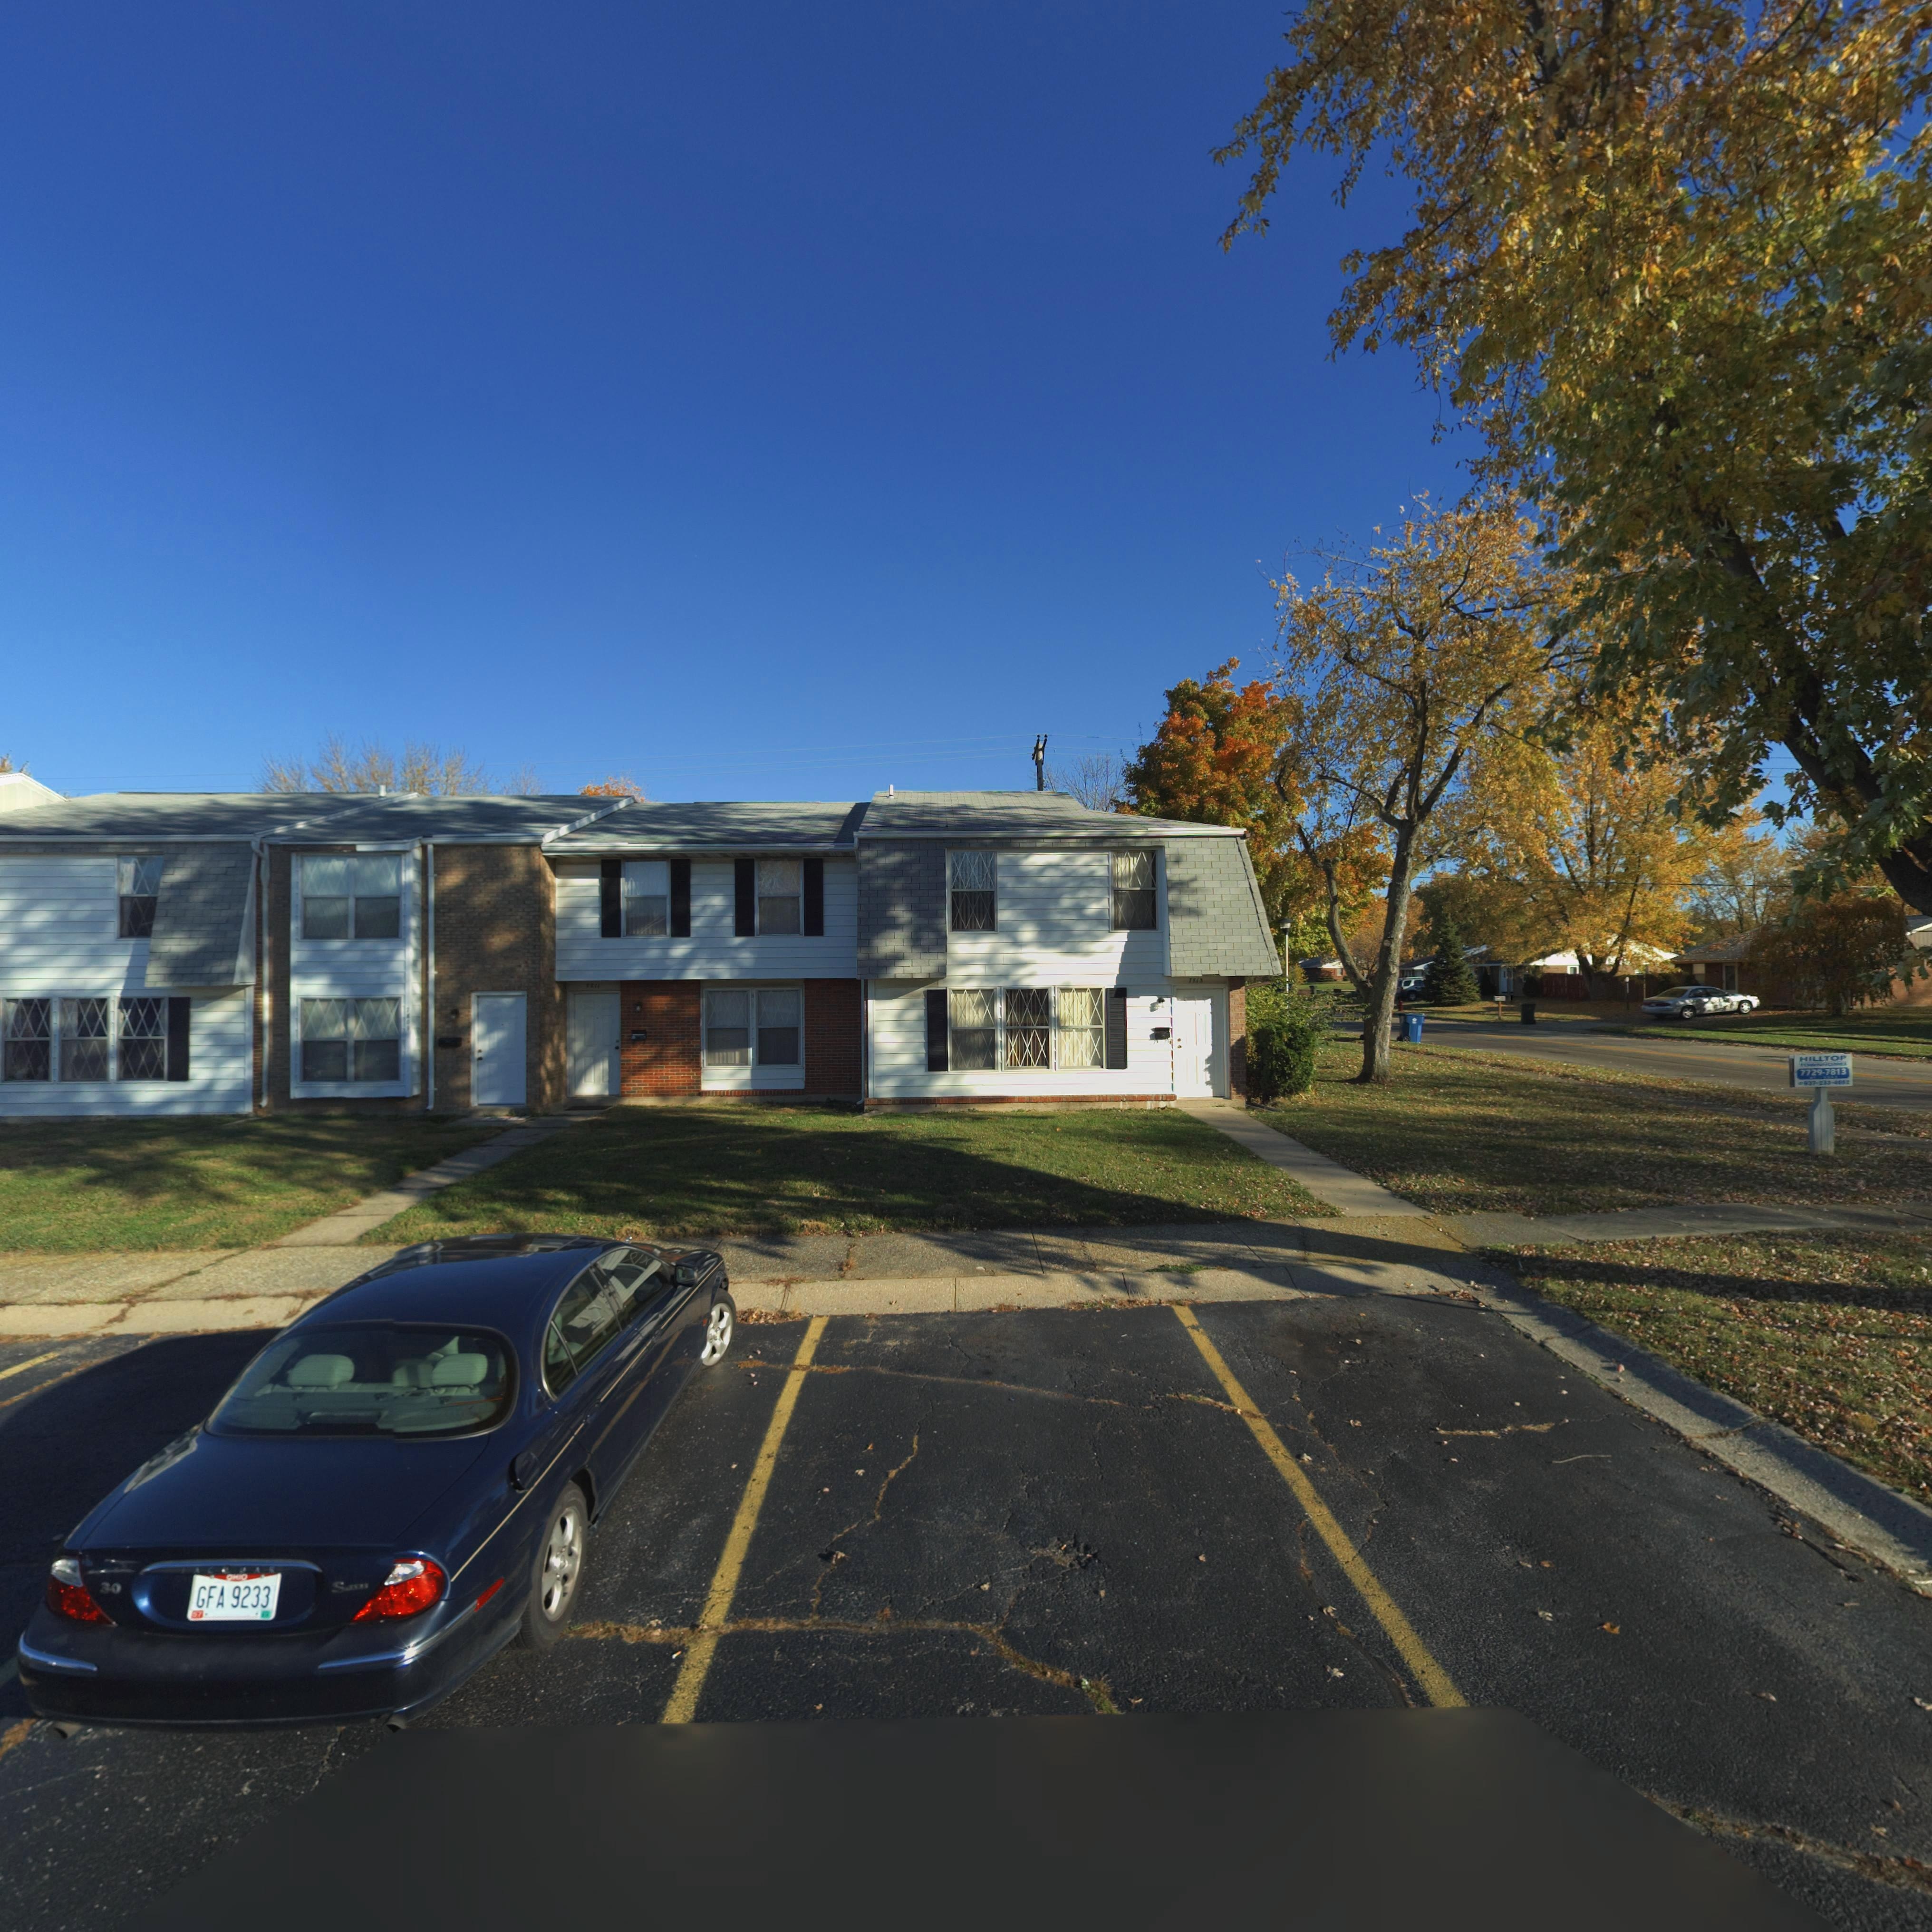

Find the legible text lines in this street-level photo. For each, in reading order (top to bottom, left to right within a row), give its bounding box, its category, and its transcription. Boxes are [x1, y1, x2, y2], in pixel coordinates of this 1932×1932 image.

[1188, 977, 1203, 984] StreetNumber: 7813
[585, 982, 602, 988] StreetNumber: 7811
[406, 1006, 410, 1032] StreetNumber: 7809